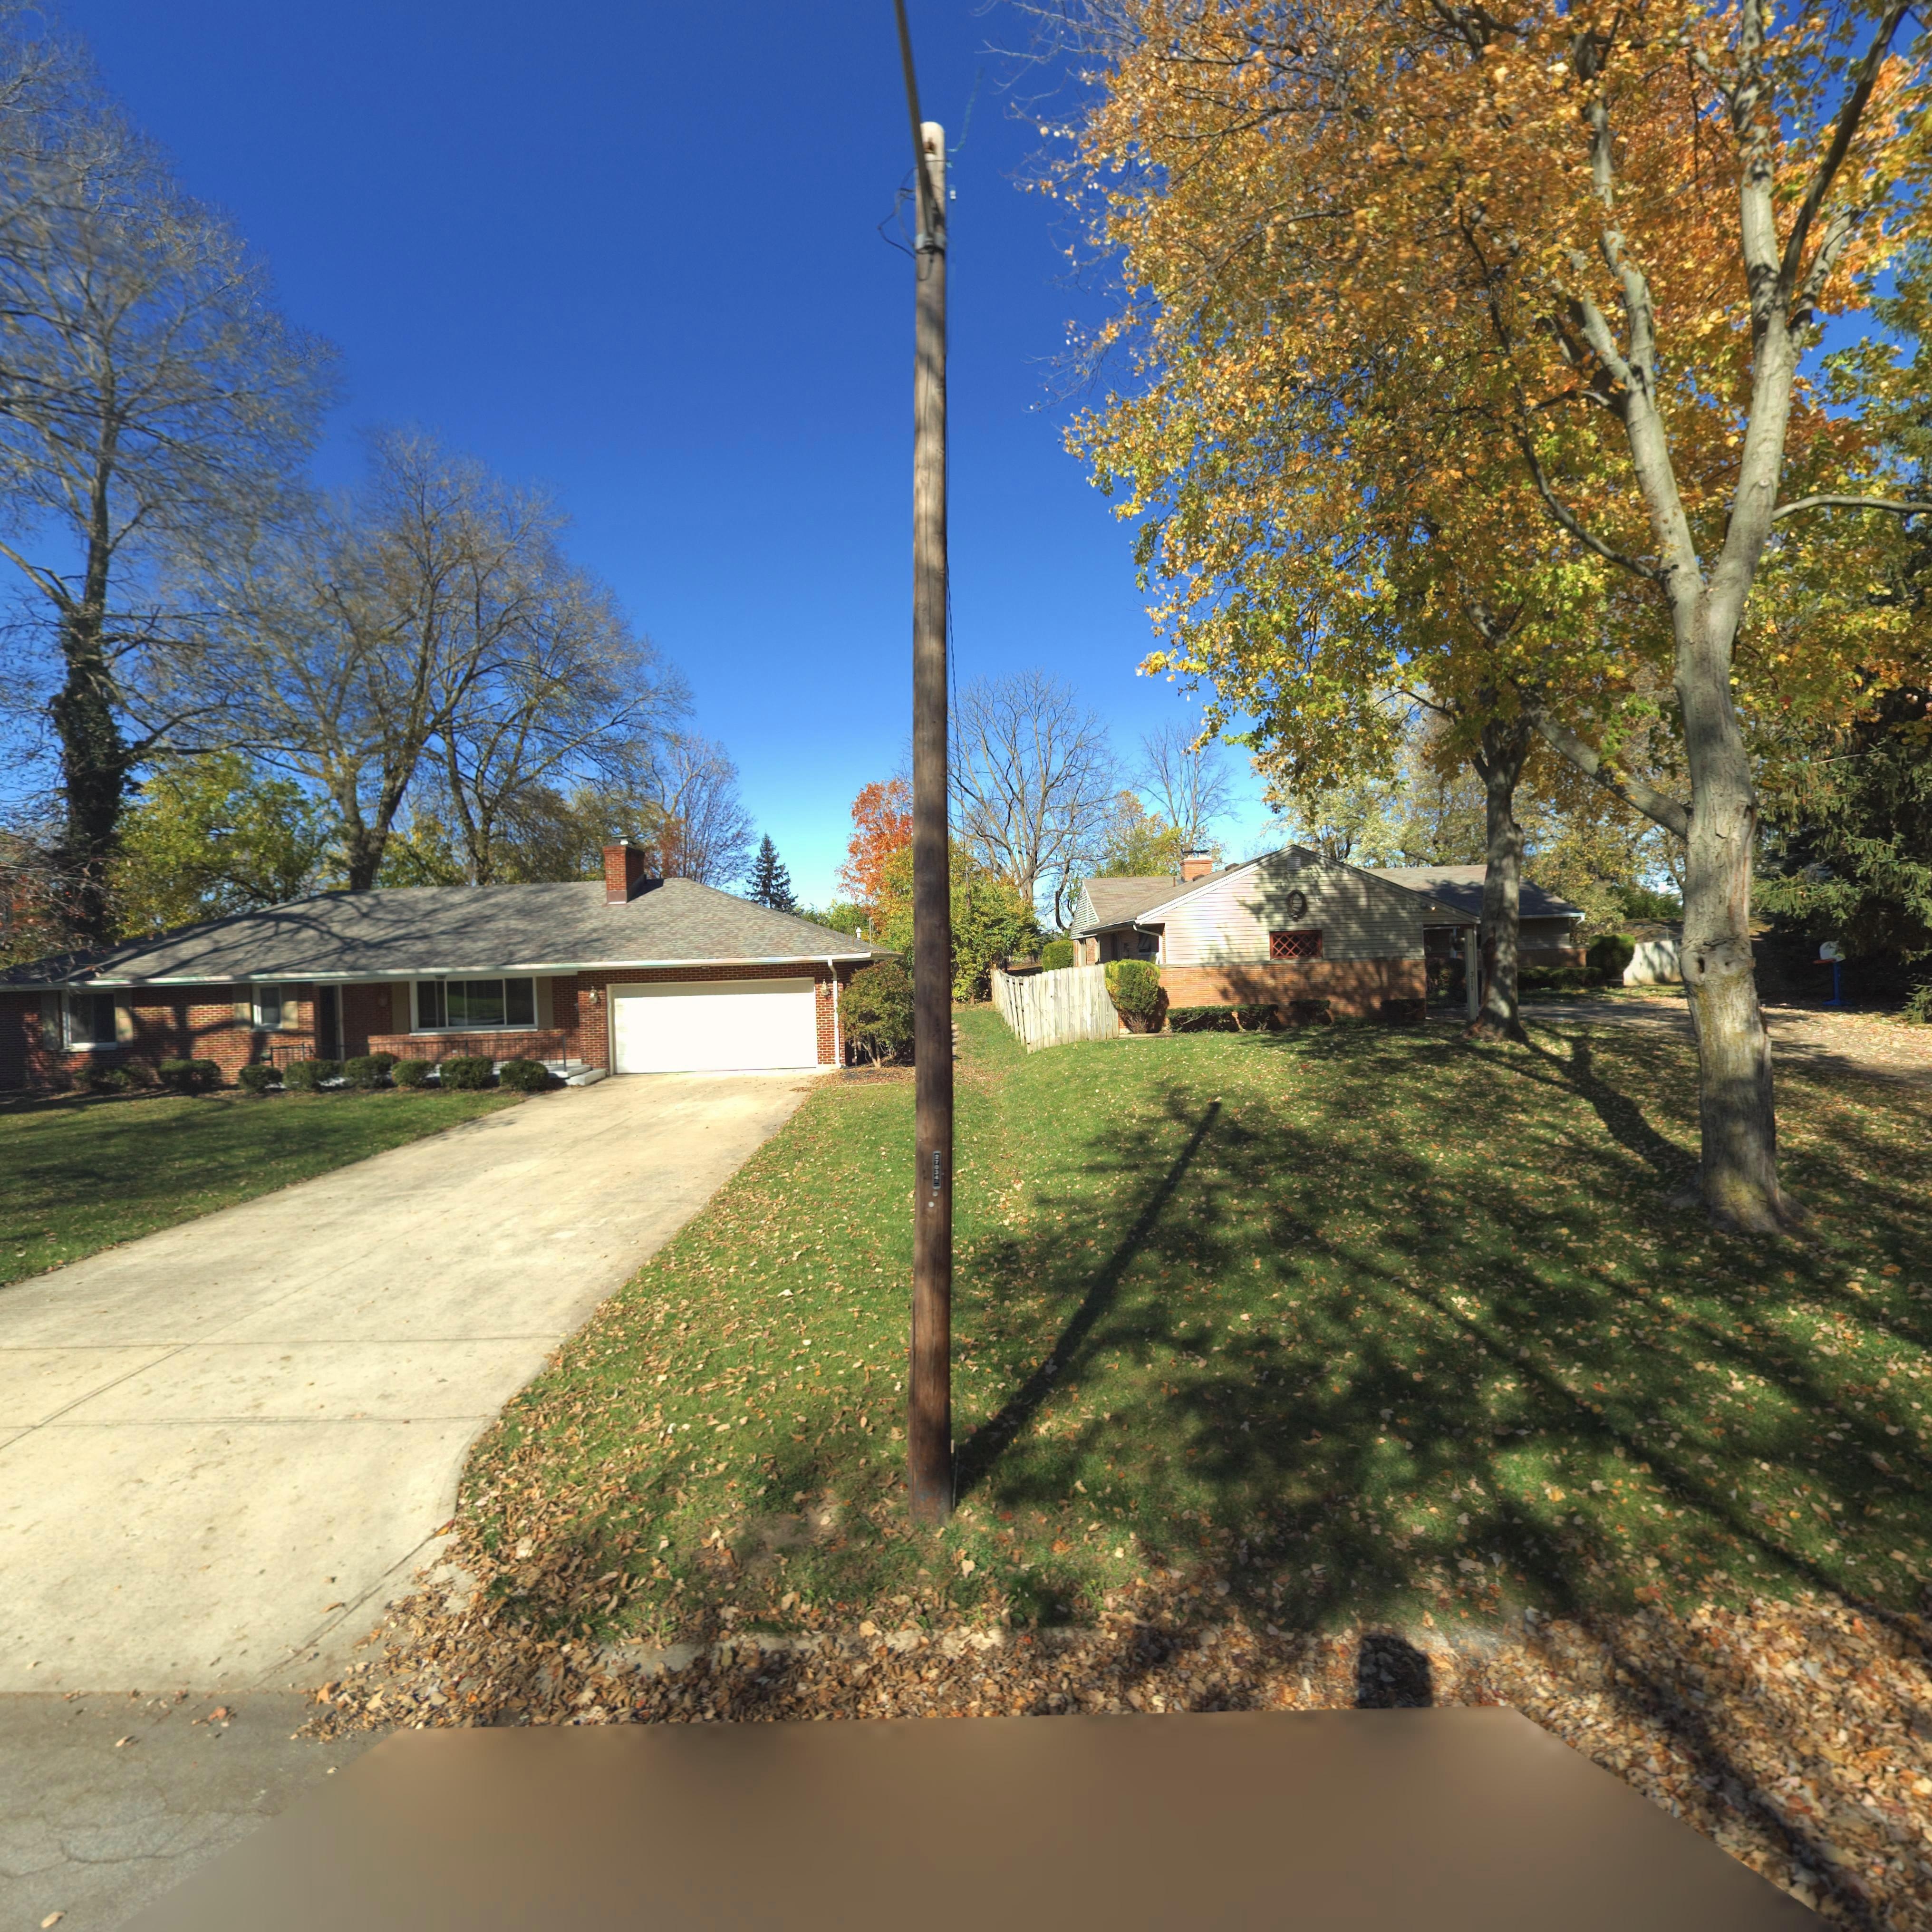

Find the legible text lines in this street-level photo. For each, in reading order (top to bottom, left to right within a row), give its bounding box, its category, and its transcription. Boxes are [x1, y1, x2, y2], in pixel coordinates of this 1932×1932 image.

[1469, 971, 1475, 991] StreetNumber: 311